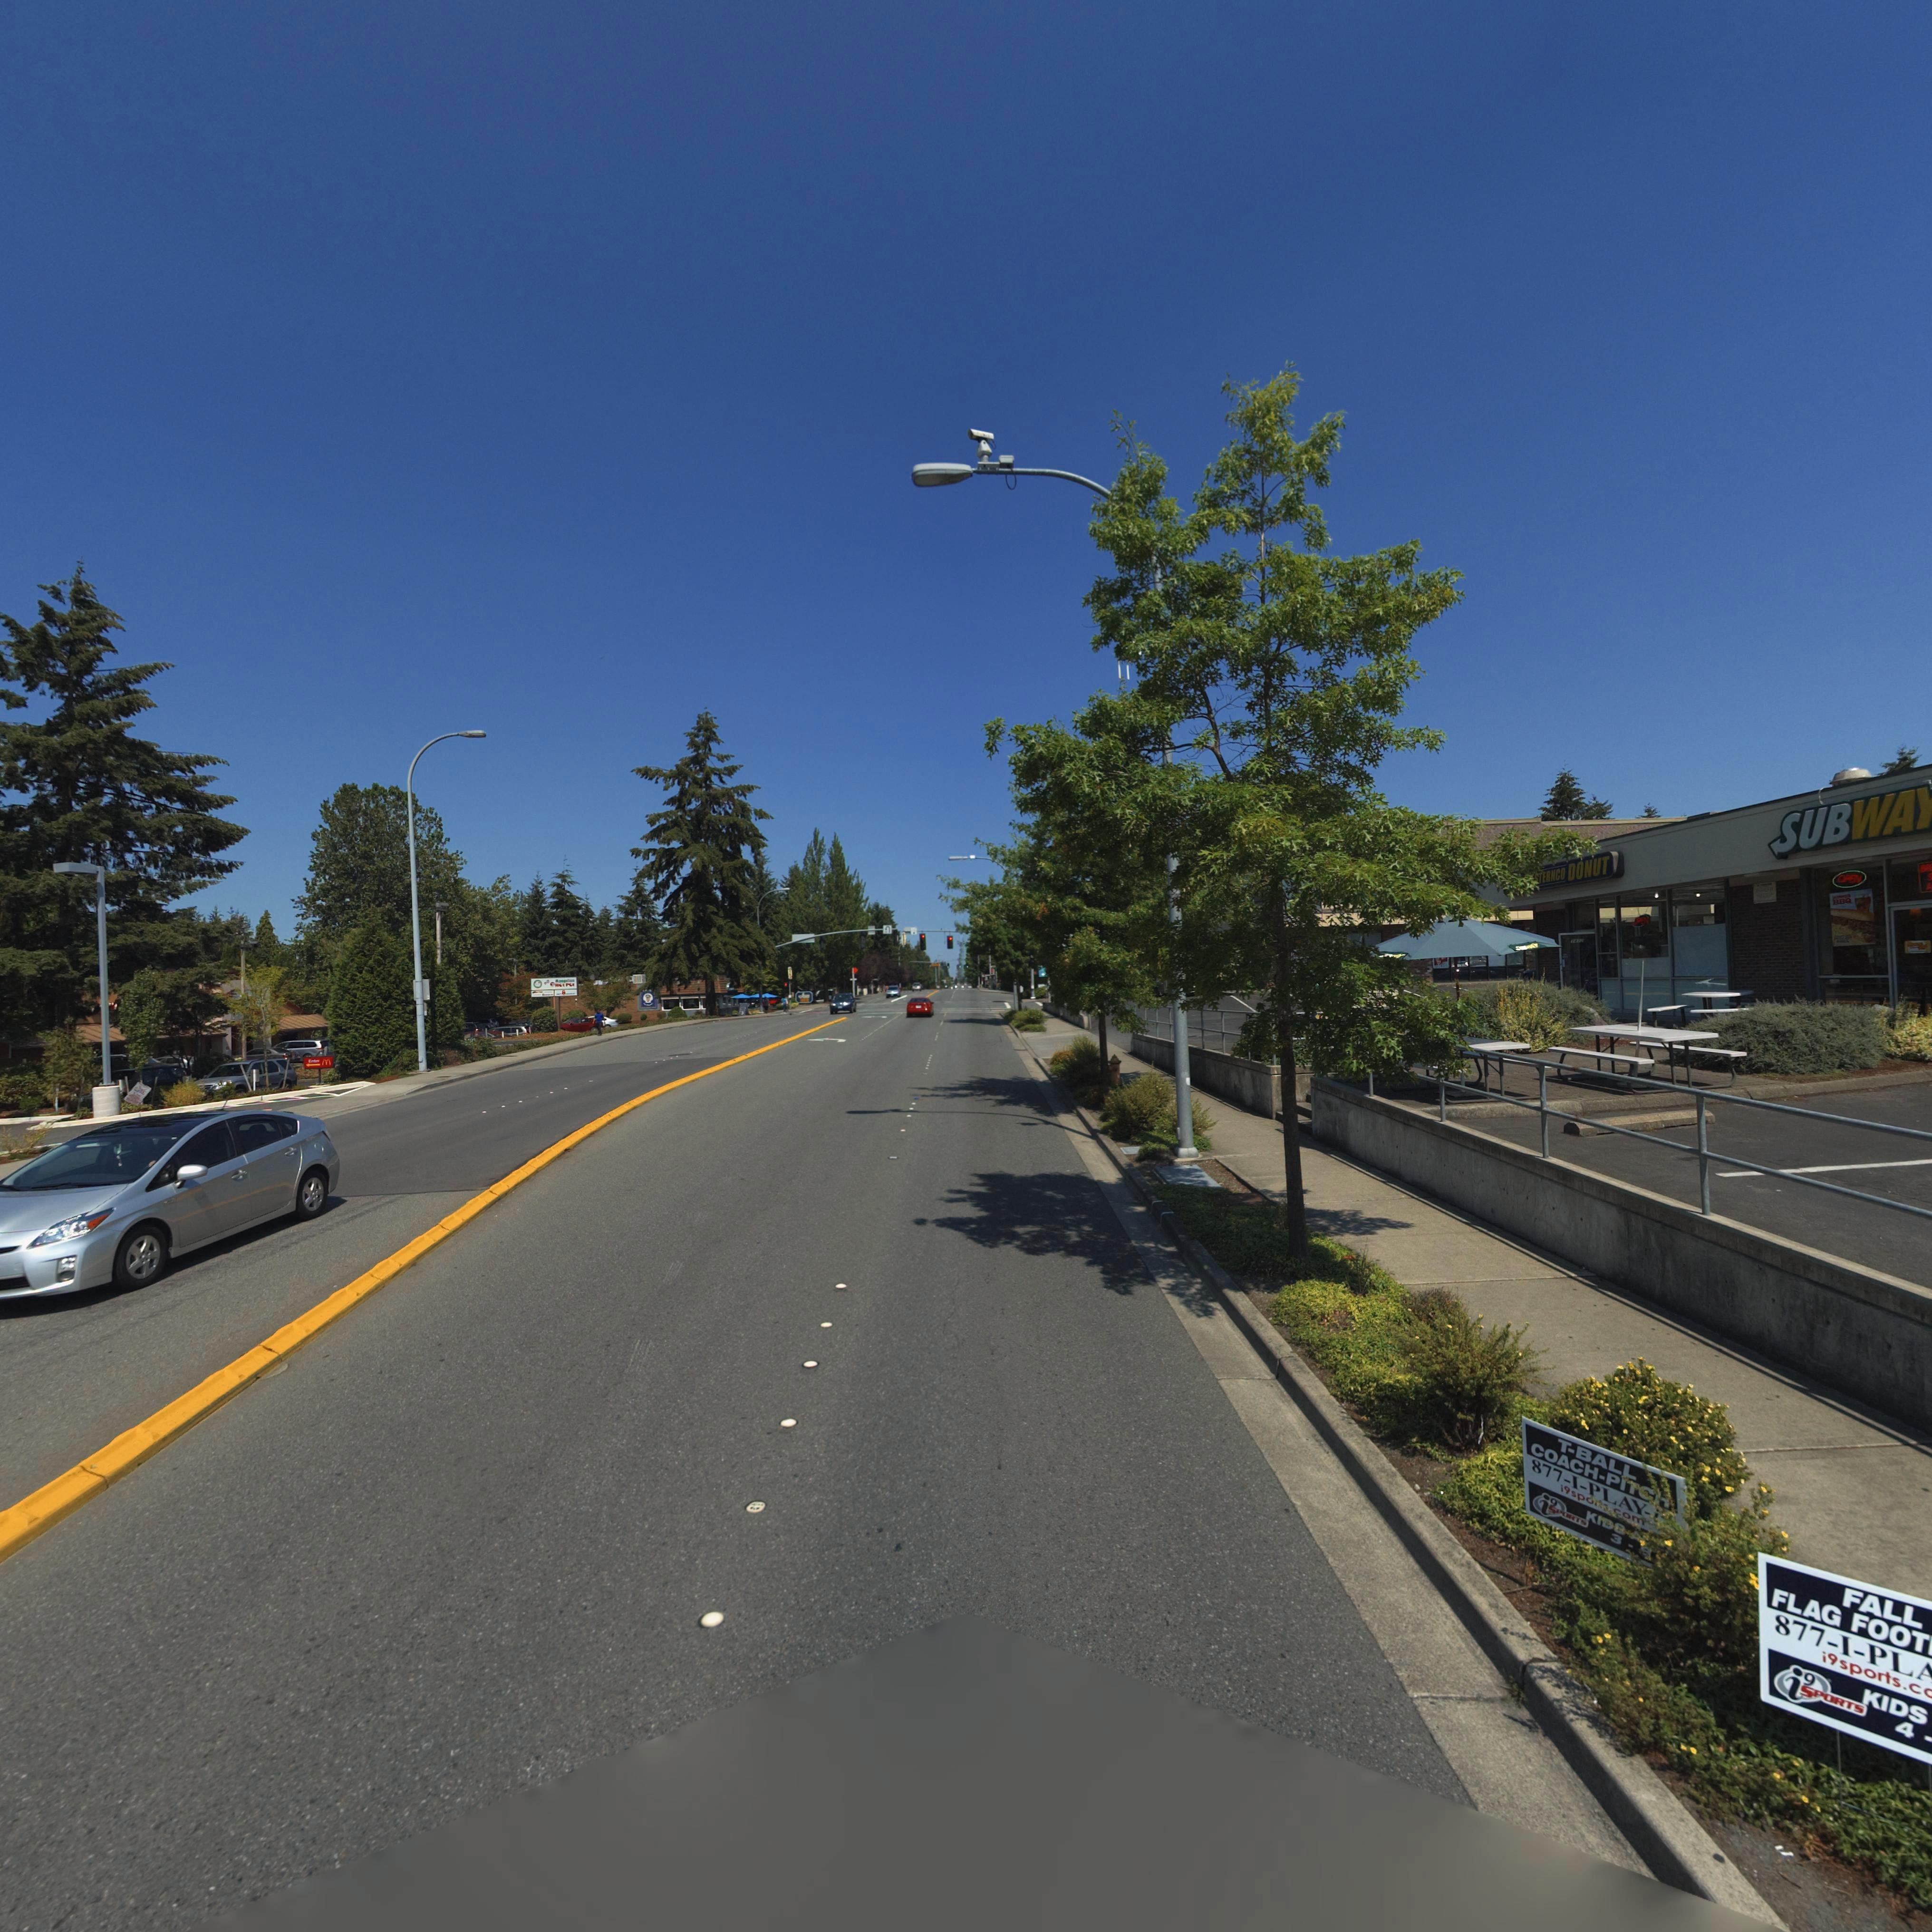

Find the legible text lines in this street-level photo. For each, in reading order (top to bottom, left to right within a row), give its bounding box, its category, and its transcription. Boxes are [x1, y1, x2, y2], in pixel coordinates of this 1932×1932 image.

[1768, 785, 1918, 858] BusinessName: SUBWA
[1537, 855, 1610, 884] BusinessName: TERNCO DONUT